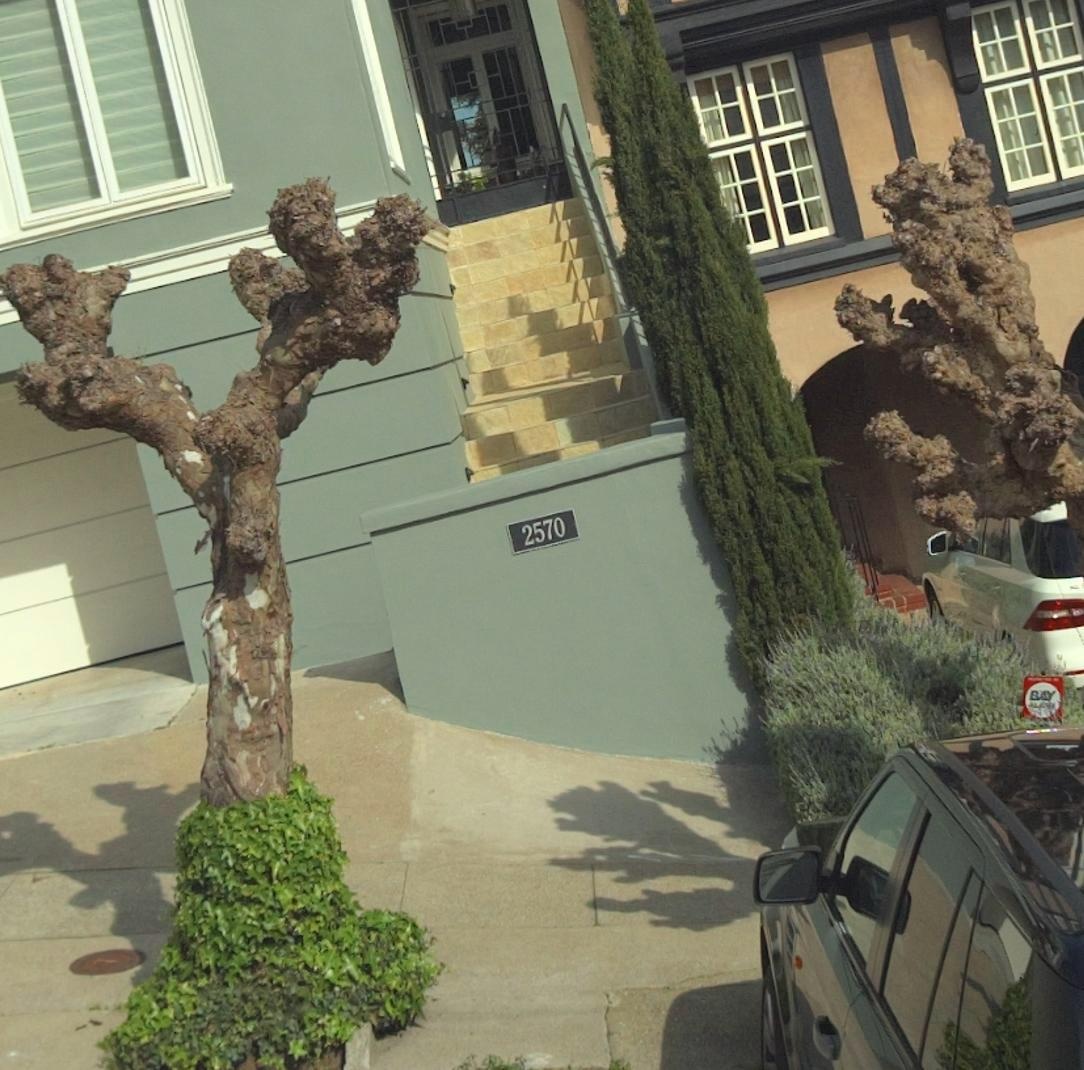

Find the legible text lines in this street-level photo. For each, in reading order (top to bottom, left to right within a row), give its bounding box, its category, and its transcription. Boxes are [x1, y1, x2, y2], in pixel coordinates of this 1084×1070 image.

[519, 514, 568, 549] StreetNumber: 2570